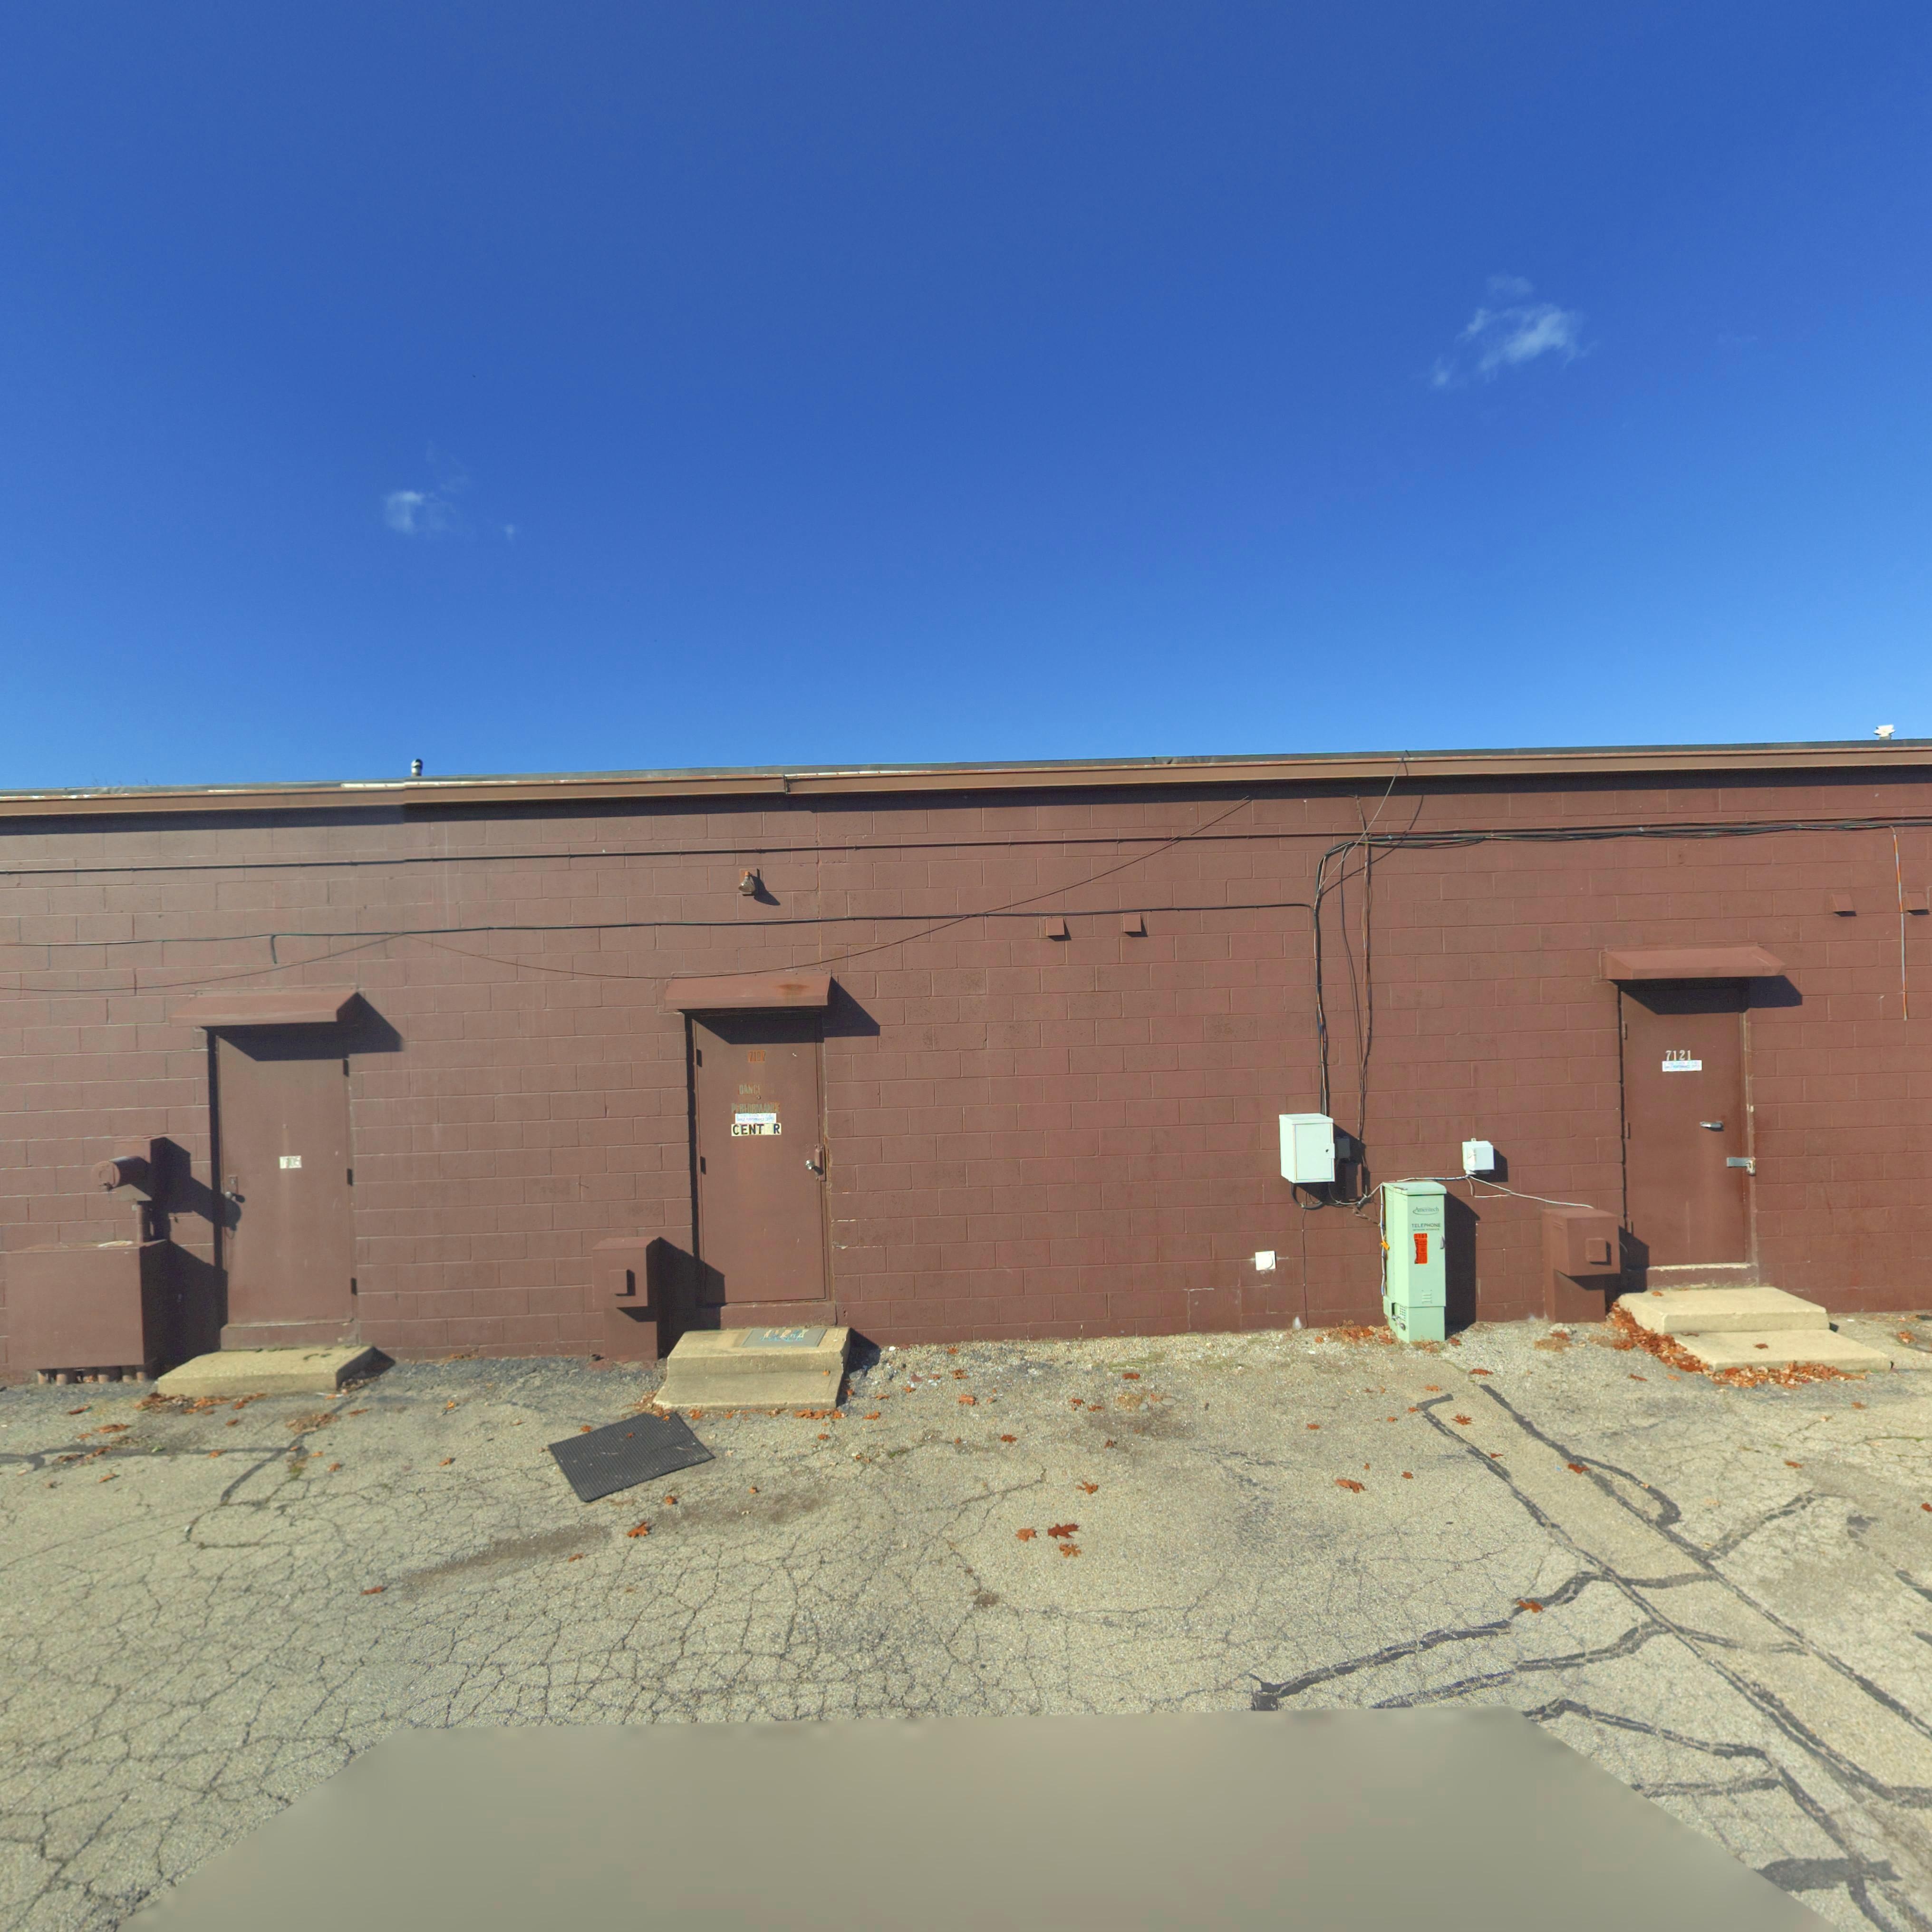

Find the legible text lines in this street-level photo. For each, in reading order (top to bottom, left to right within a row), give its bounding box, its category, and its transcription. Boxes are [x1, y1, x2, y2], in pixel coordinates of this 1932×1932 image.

[748, 1051, 766, 1063] StreetNumber: 7107
[1664, 1049, 1692, 1062] StreetNumber: 7121
[280, 1155, 301, 1169] StreetNumber: 7105